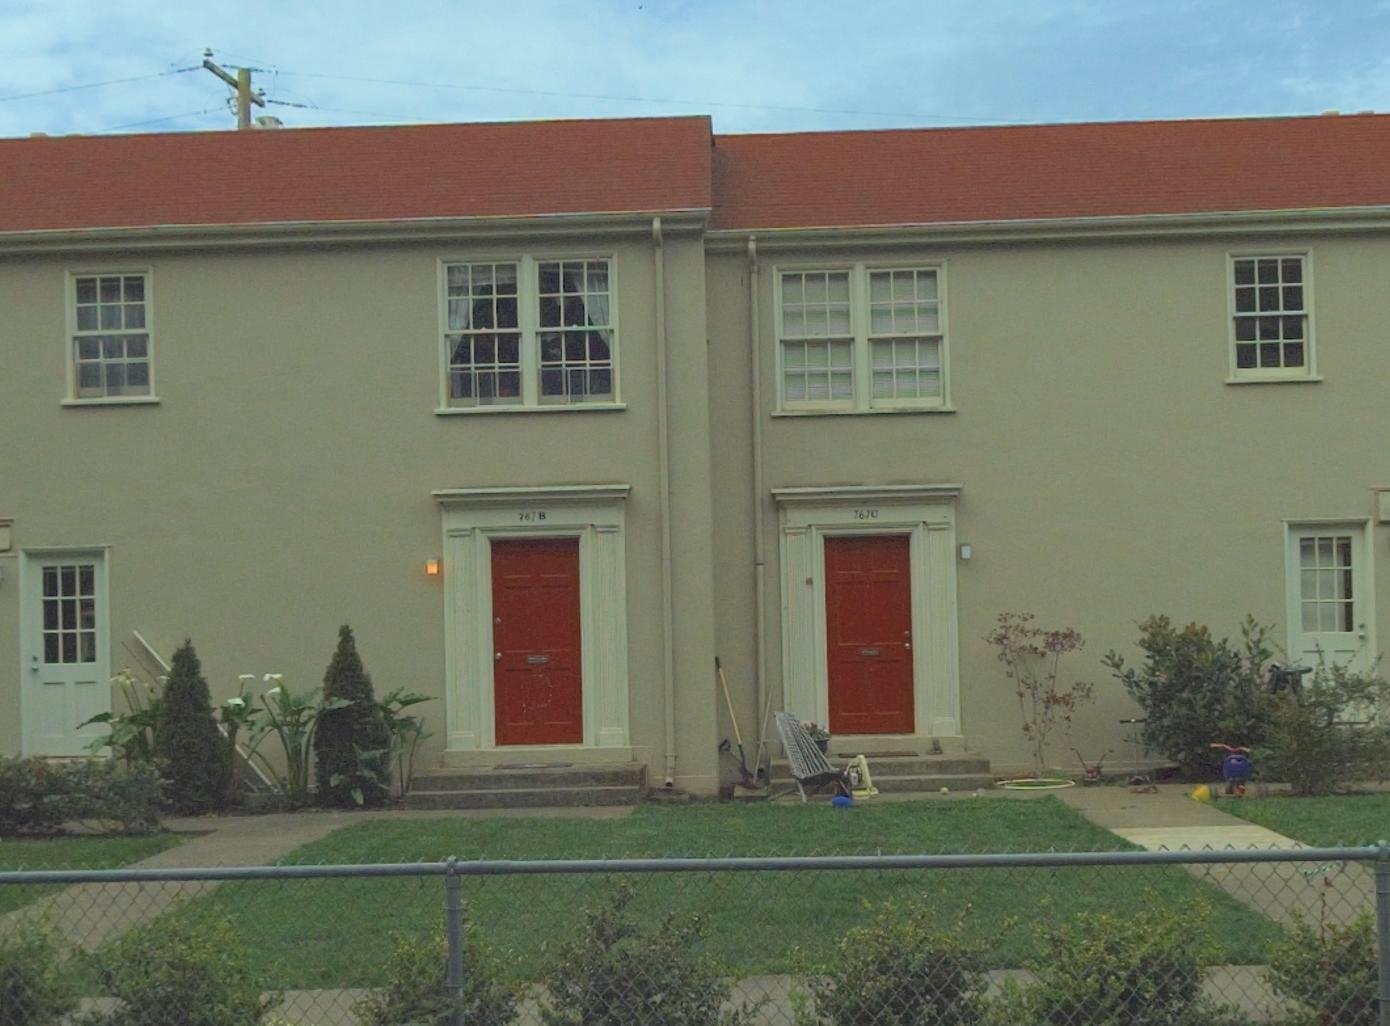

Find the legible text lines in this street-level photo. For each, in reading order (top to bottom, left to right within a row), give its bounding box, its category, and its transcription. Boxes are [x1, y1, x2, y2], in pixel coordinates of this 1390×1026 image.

[518, 510, 547, 522] StreetNumber: 767B
[853, 508, 879, 521] StreetNumber: 767C